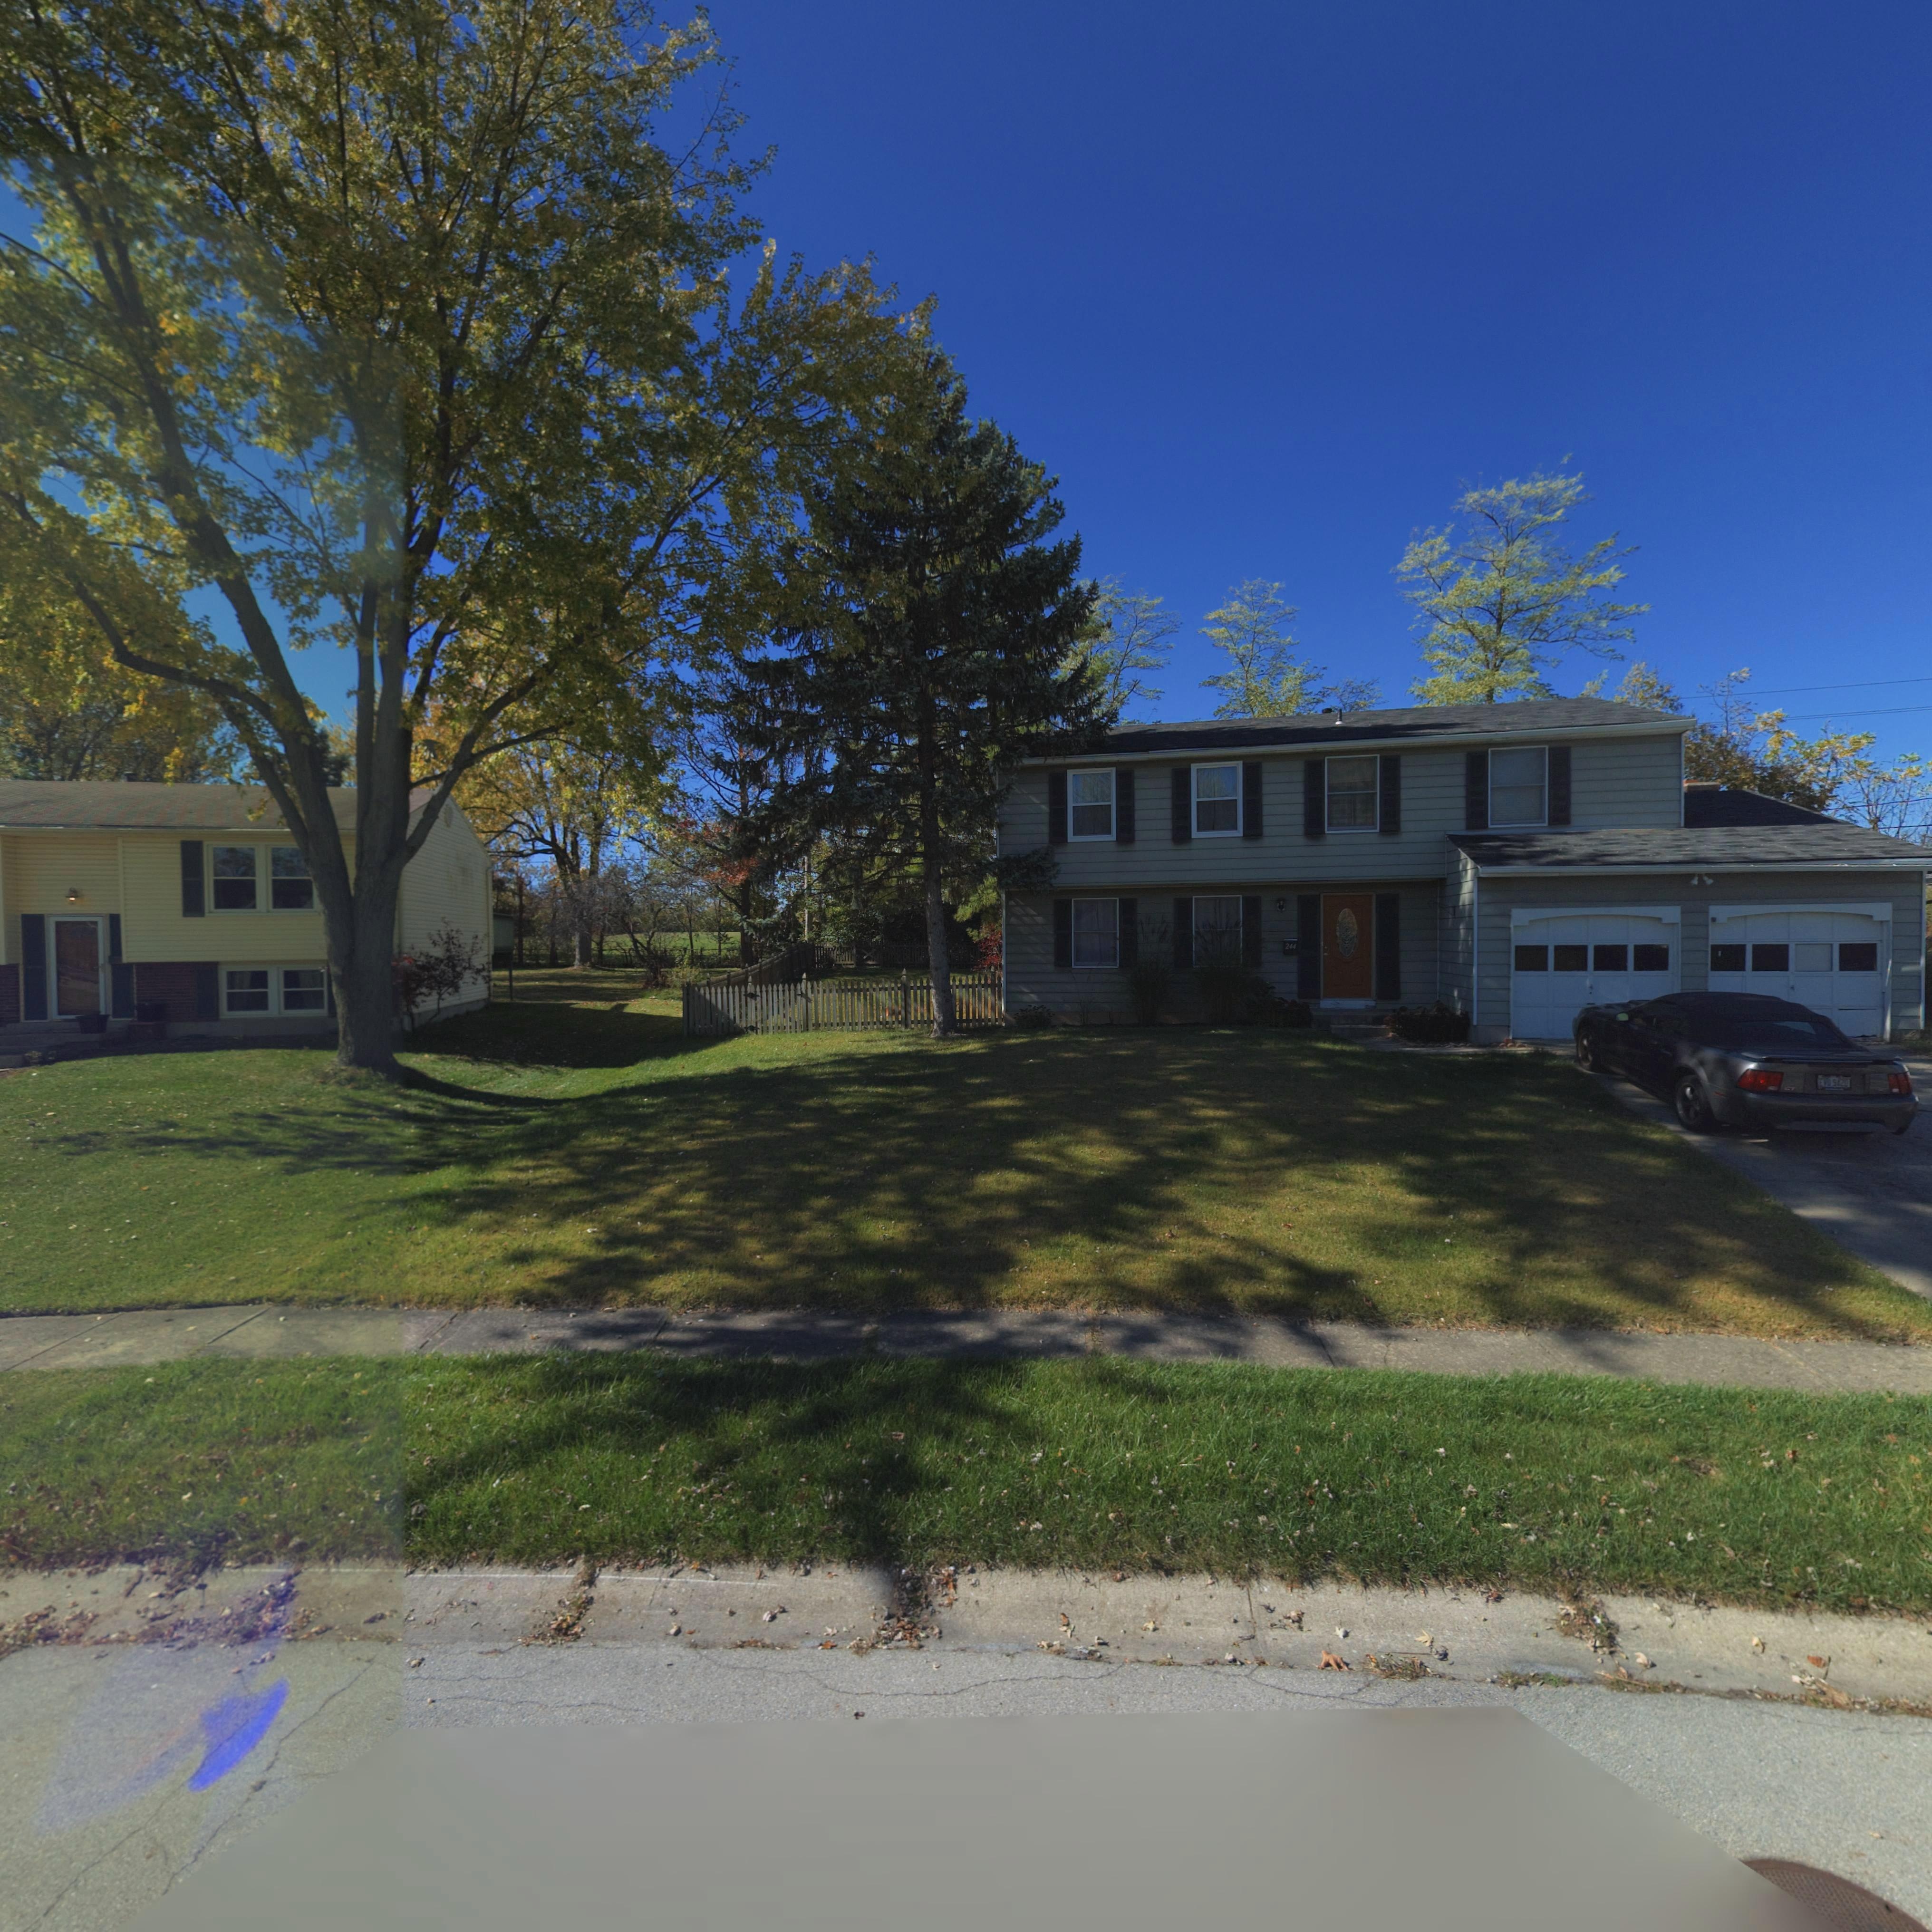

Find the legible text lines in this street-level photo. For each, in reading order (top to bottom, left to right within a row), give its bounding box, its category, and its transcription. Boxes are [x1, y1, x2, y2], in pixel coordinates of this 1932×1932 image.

[1284, 943, 1297, 950] StreetNumber: 244